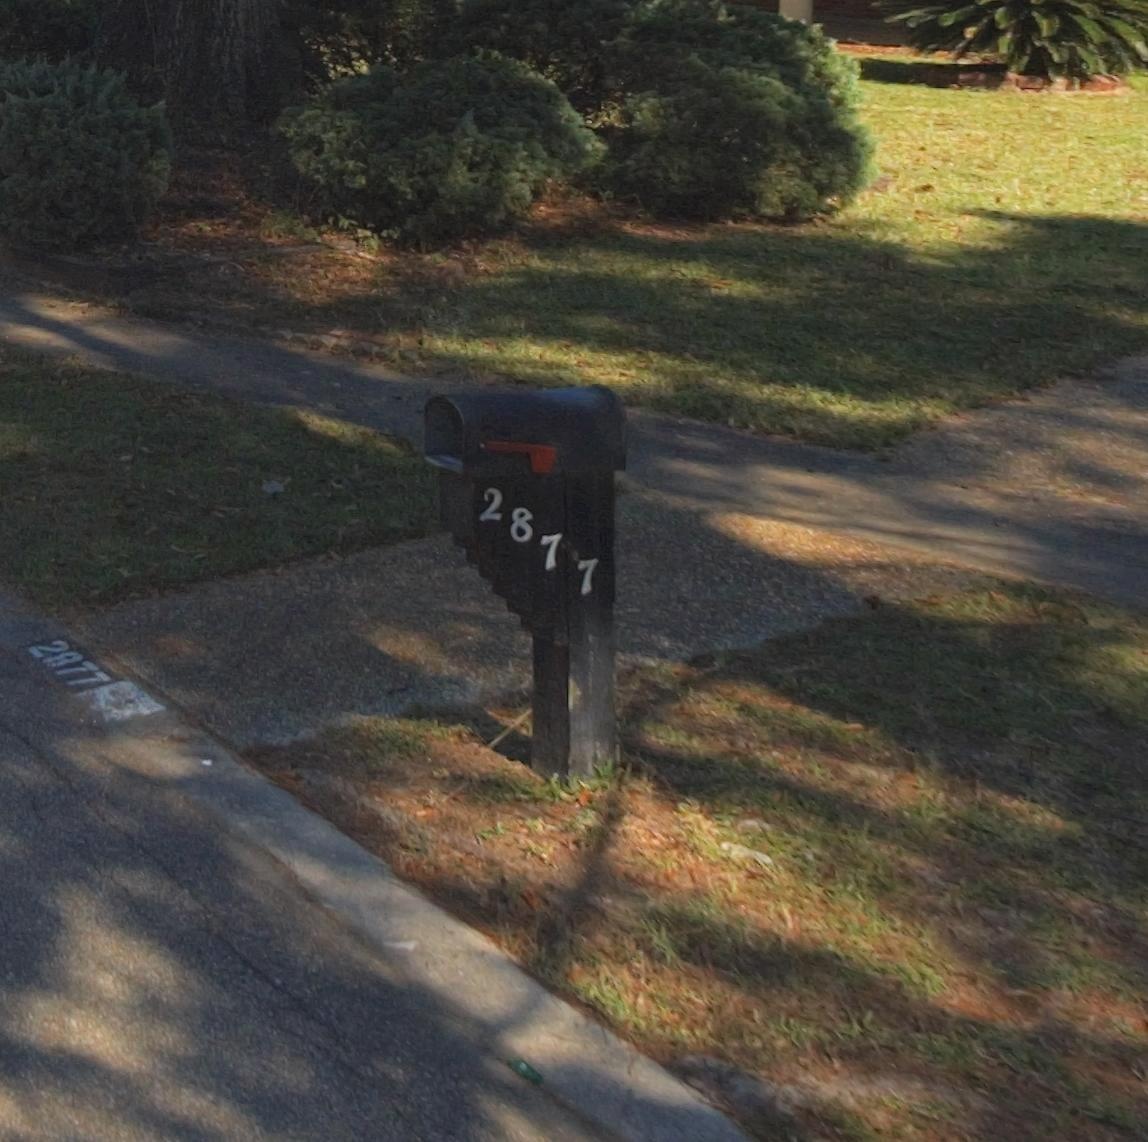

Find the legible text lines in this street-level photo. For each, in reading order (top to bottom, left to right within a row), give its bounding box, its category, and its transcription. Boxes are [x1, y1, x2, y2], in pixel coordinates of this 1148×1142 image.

[474, 483, 604, 601] StreetNumber: 2877
[21, 635, 118, 693] StreetNumber: 2877